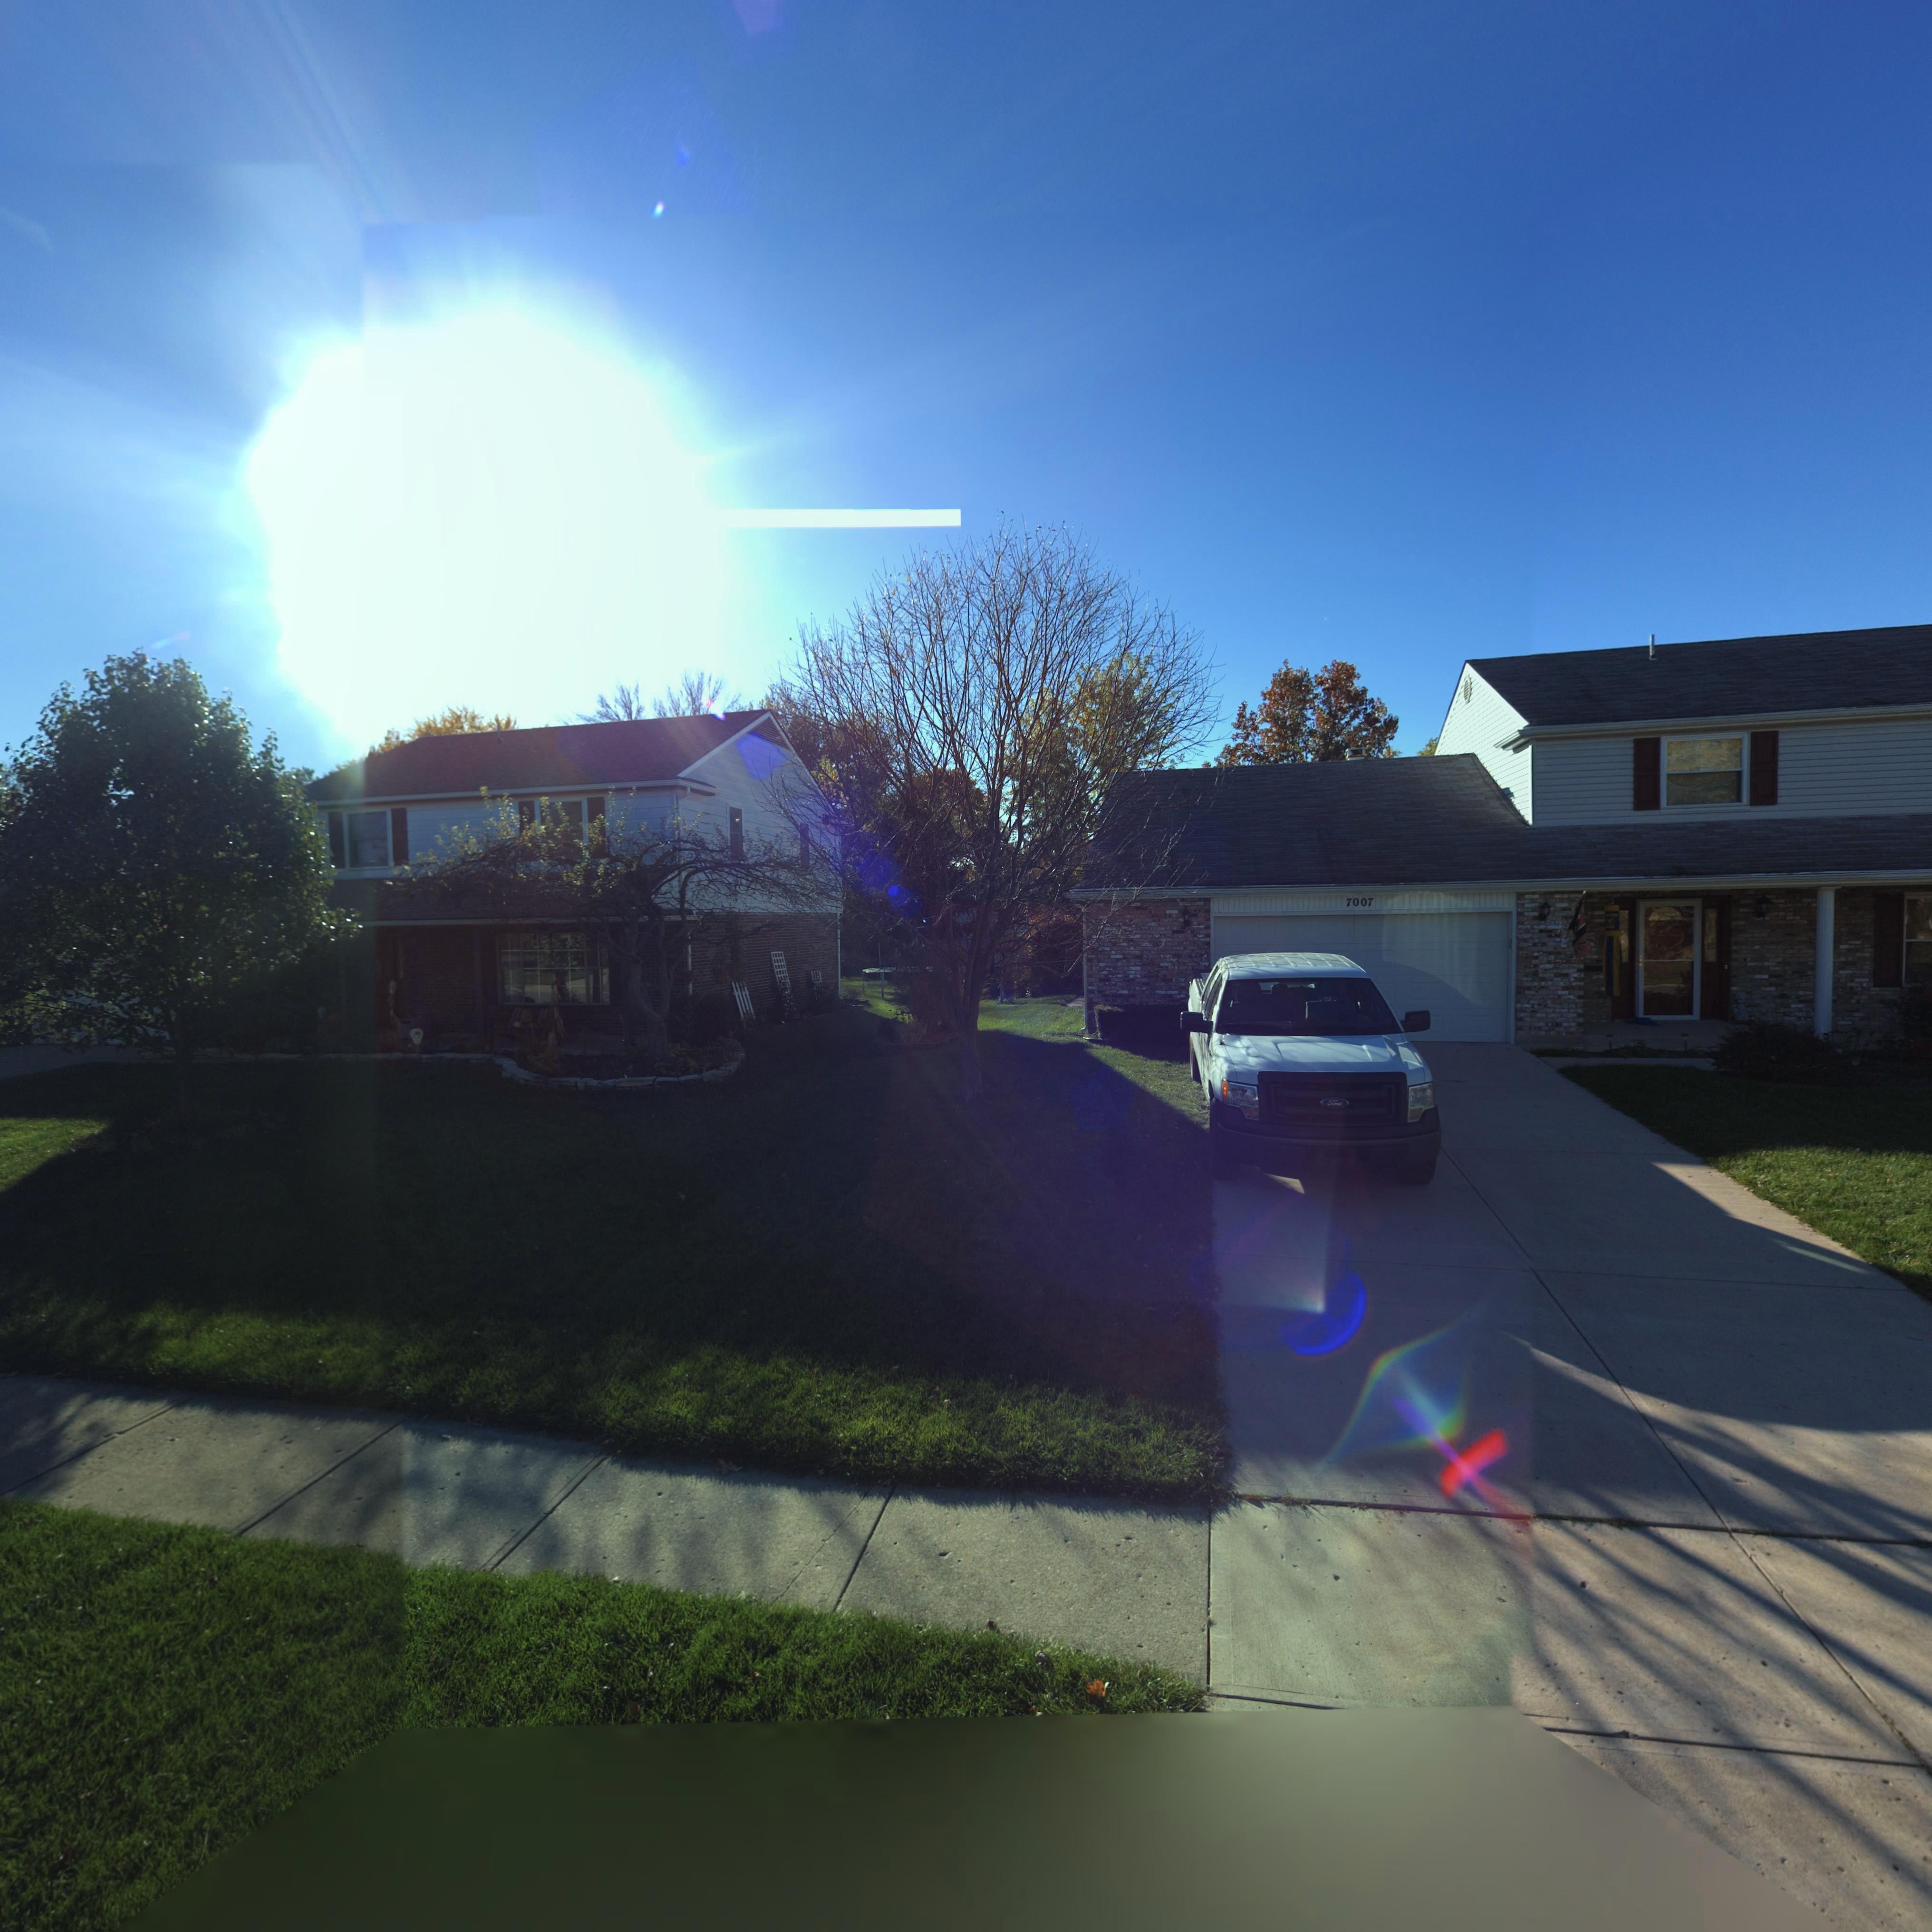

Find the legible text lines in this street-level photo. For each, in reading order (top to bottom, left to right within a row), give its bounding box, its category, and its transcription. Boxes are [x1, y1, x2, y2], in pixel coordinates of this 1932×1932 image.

[1346, 898, 1374, 907] StreetNumber: 7007